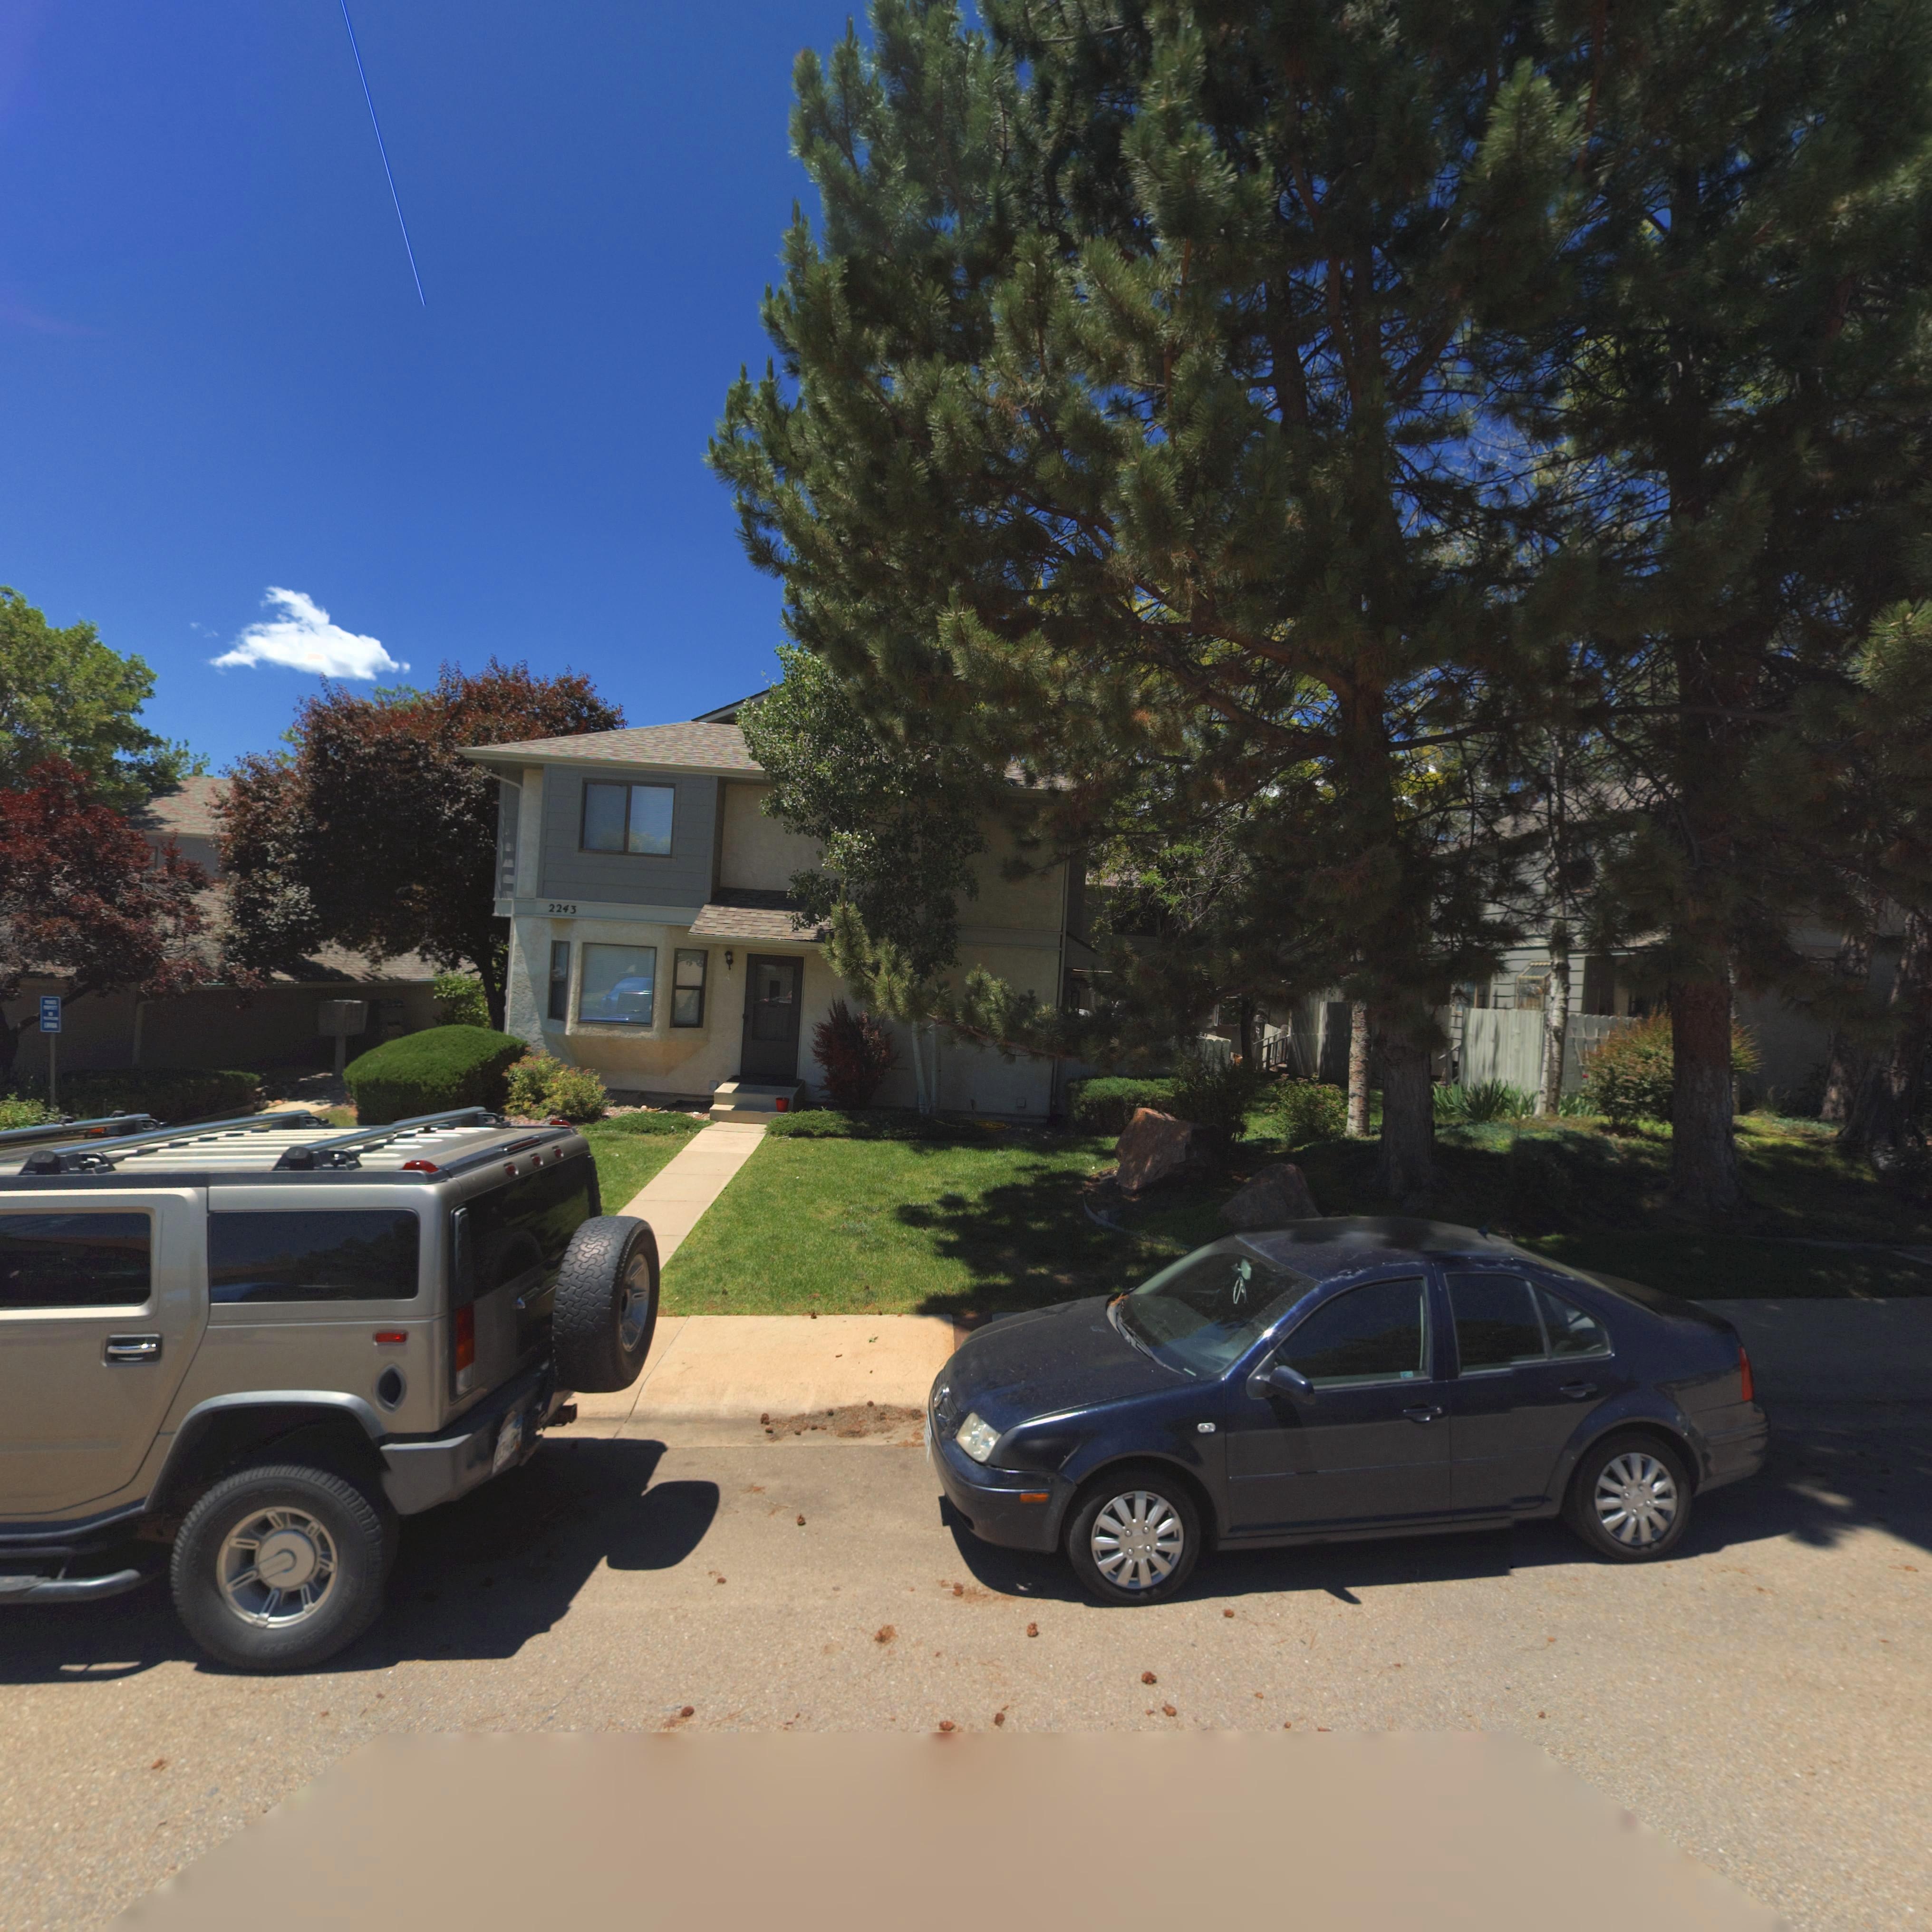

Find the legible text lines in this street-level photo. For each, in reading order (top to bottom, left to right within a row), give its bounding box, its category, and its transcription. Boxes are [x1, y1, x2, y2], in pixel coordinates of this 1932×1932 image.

[549, 903, 577, 914] StreetNumber: 2243